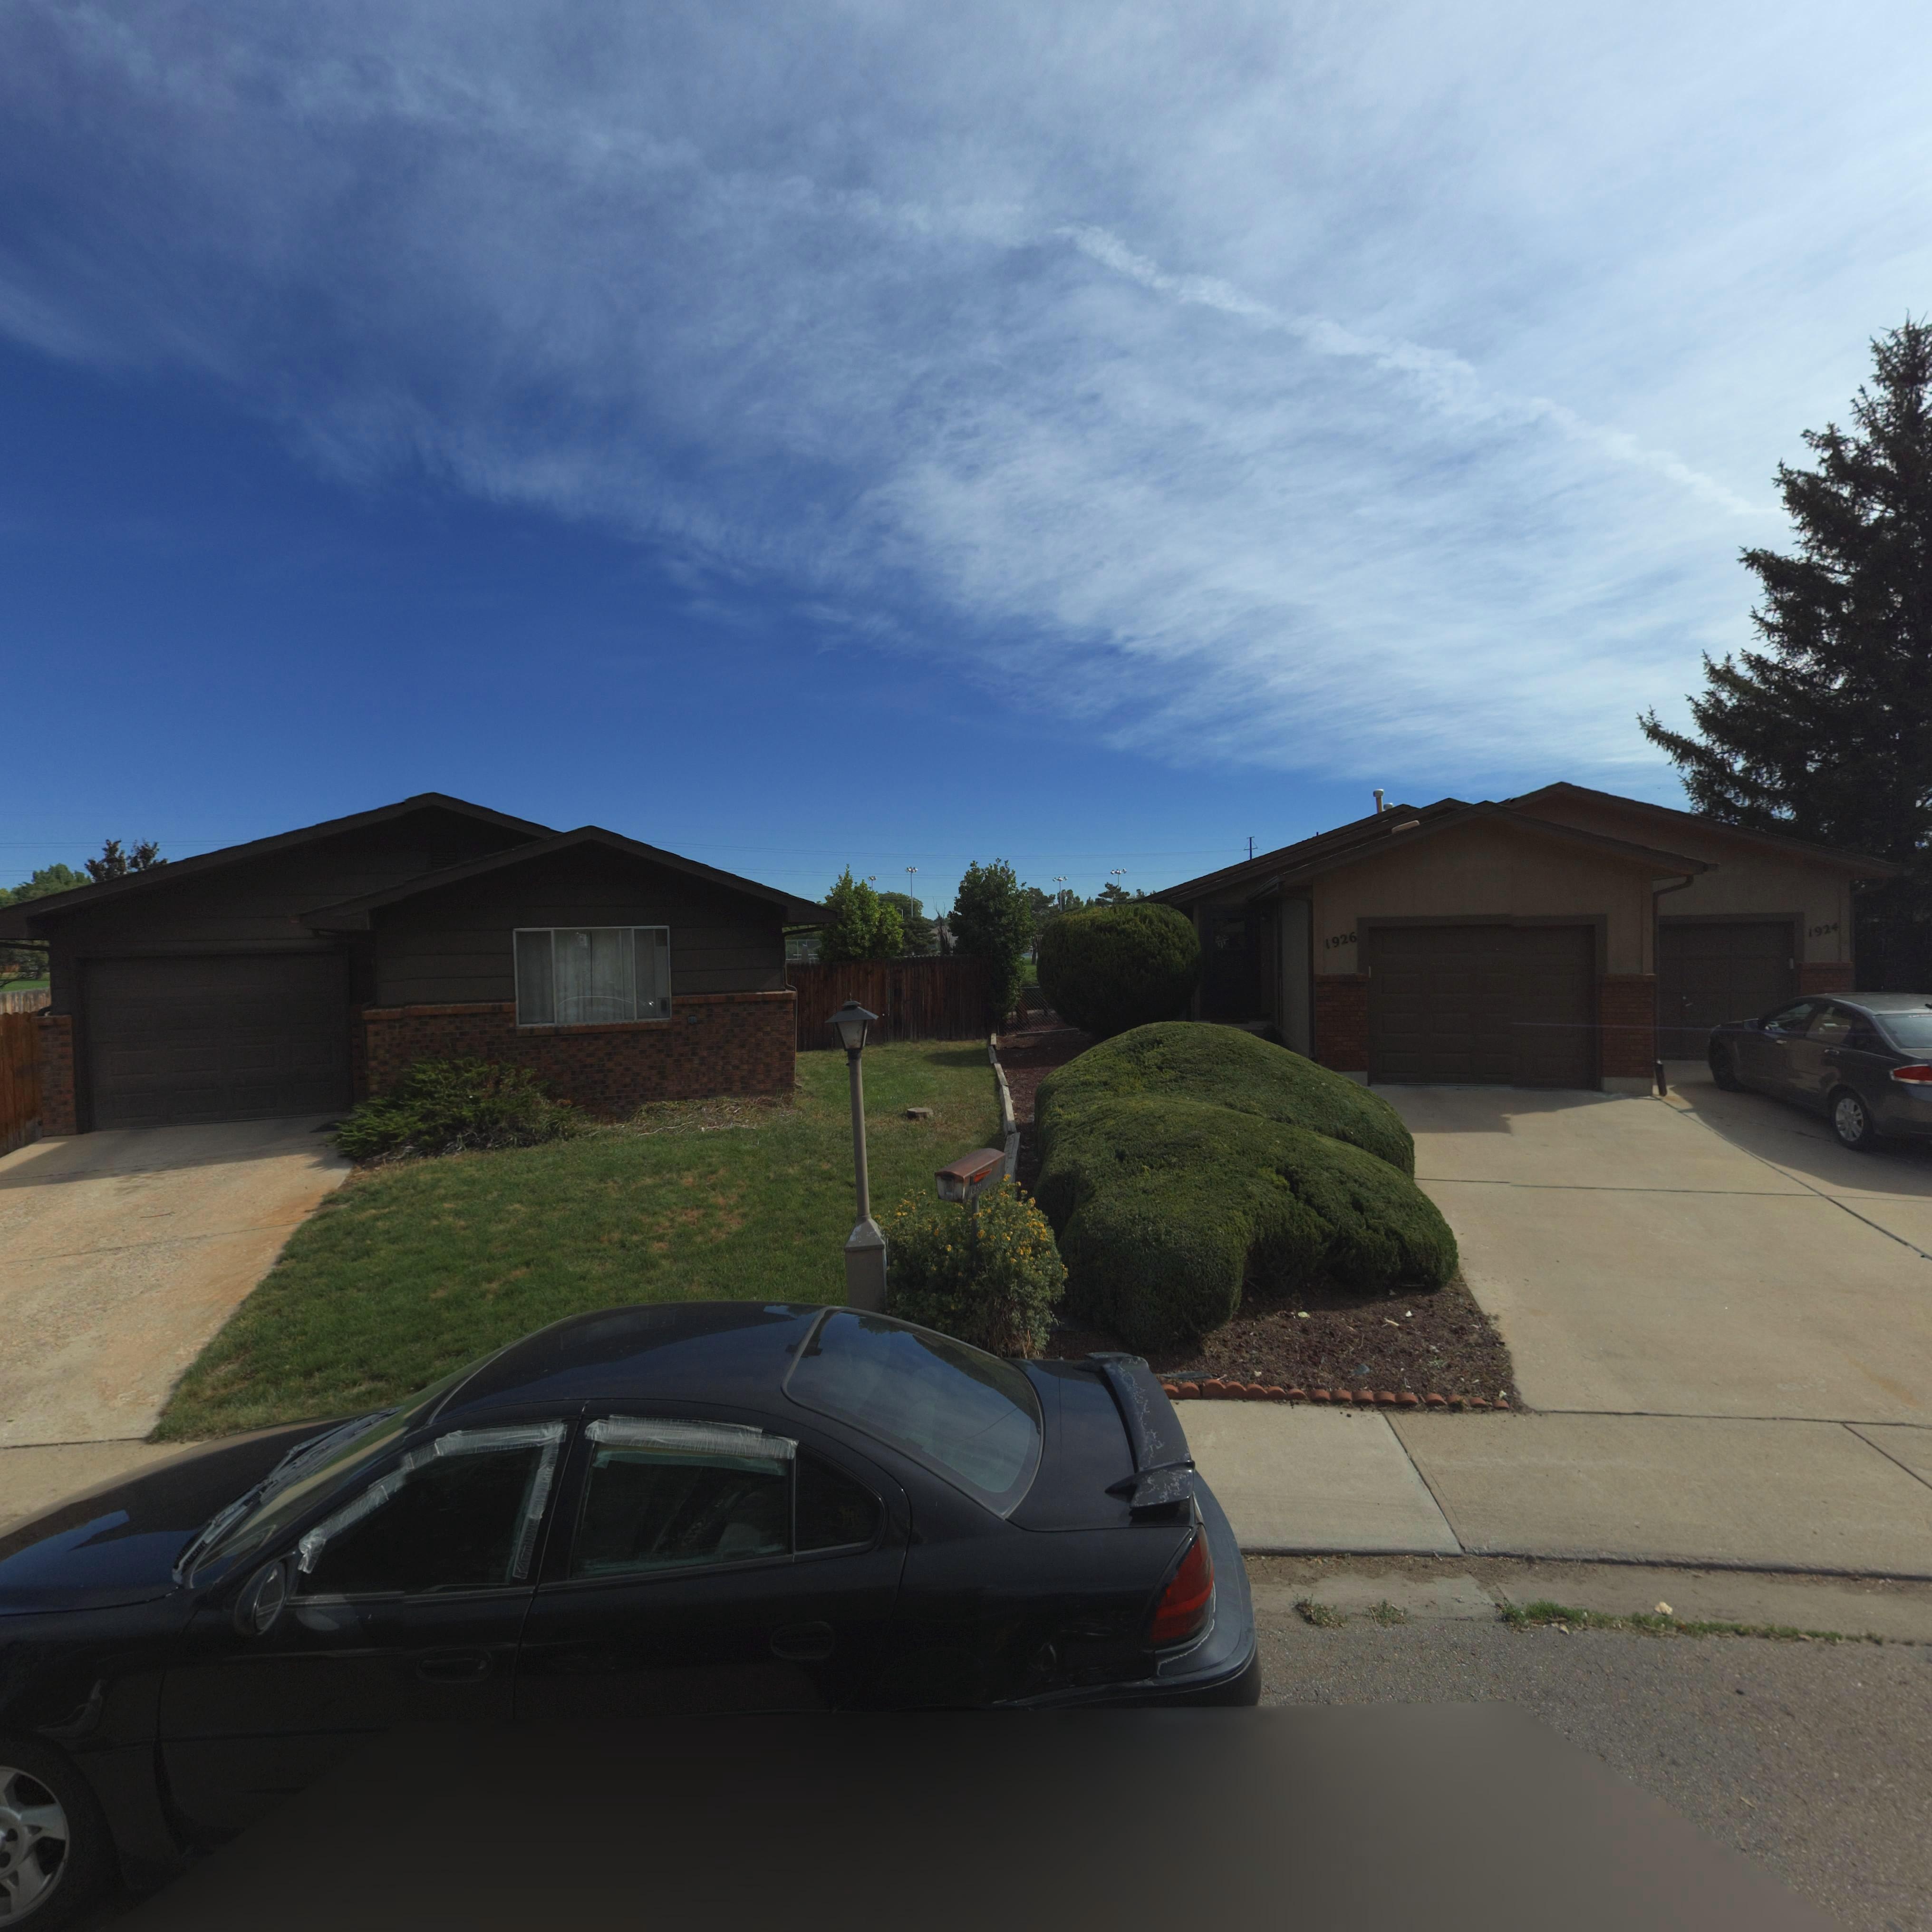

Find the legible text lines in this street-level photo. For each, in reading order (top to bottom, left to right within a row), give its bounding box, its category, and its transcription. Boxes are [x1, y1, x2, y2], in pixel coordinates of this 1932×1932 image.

[1808, 921, 1840, 938] StreetNumber: 1924
[1325, 930, 1358, 950] StreetNumber: 1926
[970, 1181, 983, 1195] StreetNumber: 192*